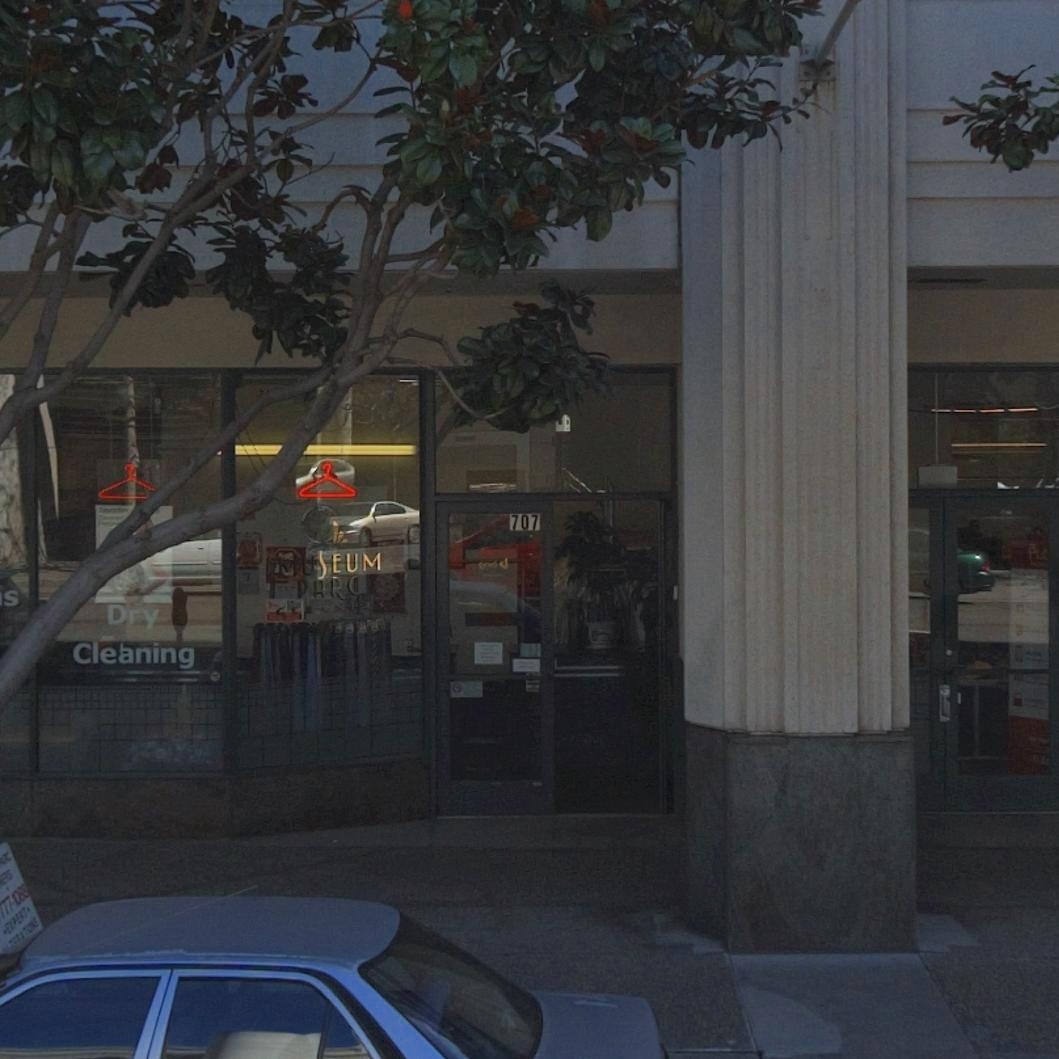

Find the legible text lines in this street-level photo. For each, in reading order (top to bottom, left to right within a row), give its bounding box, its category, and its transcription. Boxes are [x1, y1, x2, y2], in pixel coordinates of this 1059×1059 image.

[508, 512, 540, 533] StreetNumber: 707
[315, 546, 383, 584] None: SEUN
[294, 575, 350, 604] None: PHR
[104, 601, 165, 638] None: DRY
[70, 634, 199, 674] None: Cleaning